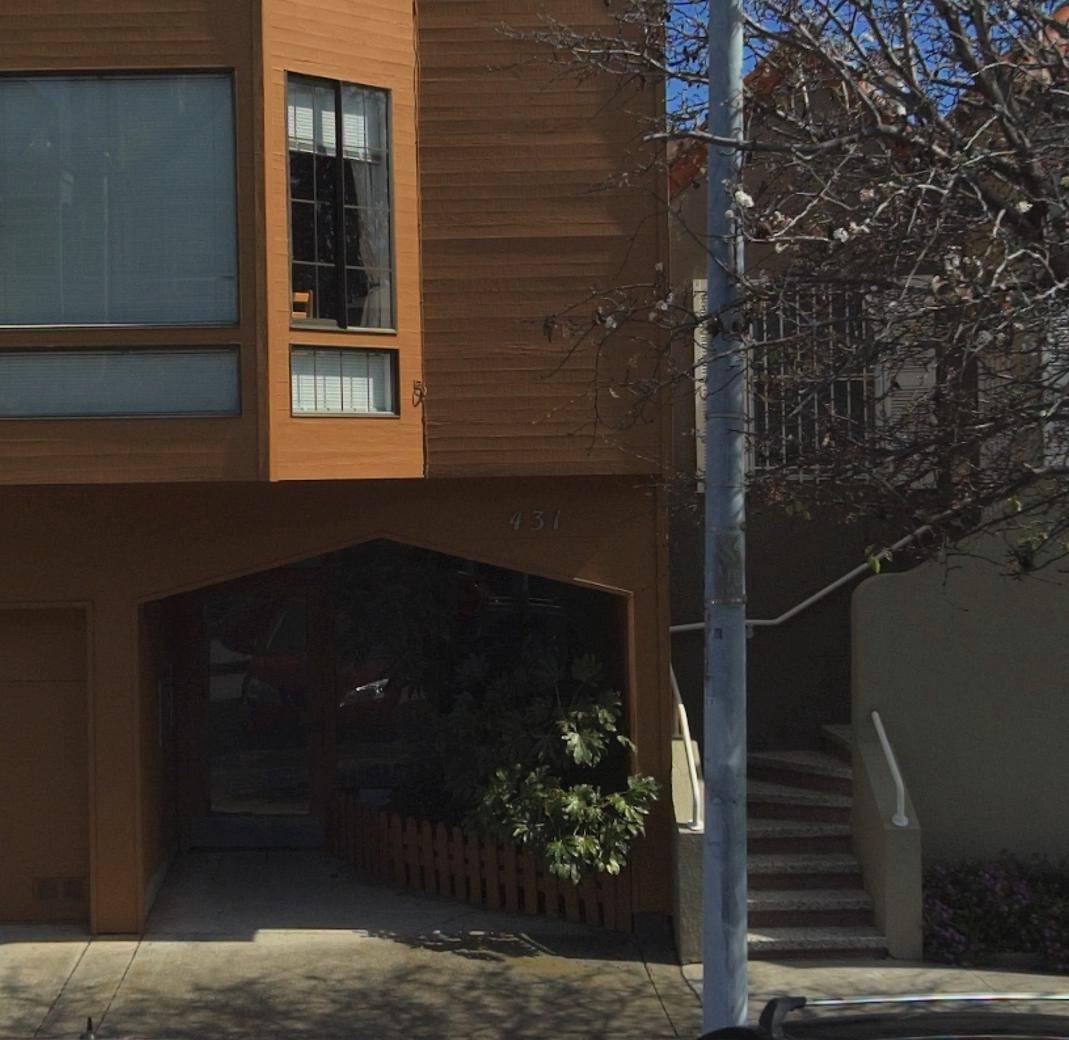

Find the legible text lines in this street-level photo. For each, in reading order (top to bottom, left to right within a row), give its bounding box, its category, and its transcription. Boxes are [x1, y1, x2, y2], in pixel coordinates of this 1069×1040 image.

[507, 506, 562, 534] StreetNumber: 431